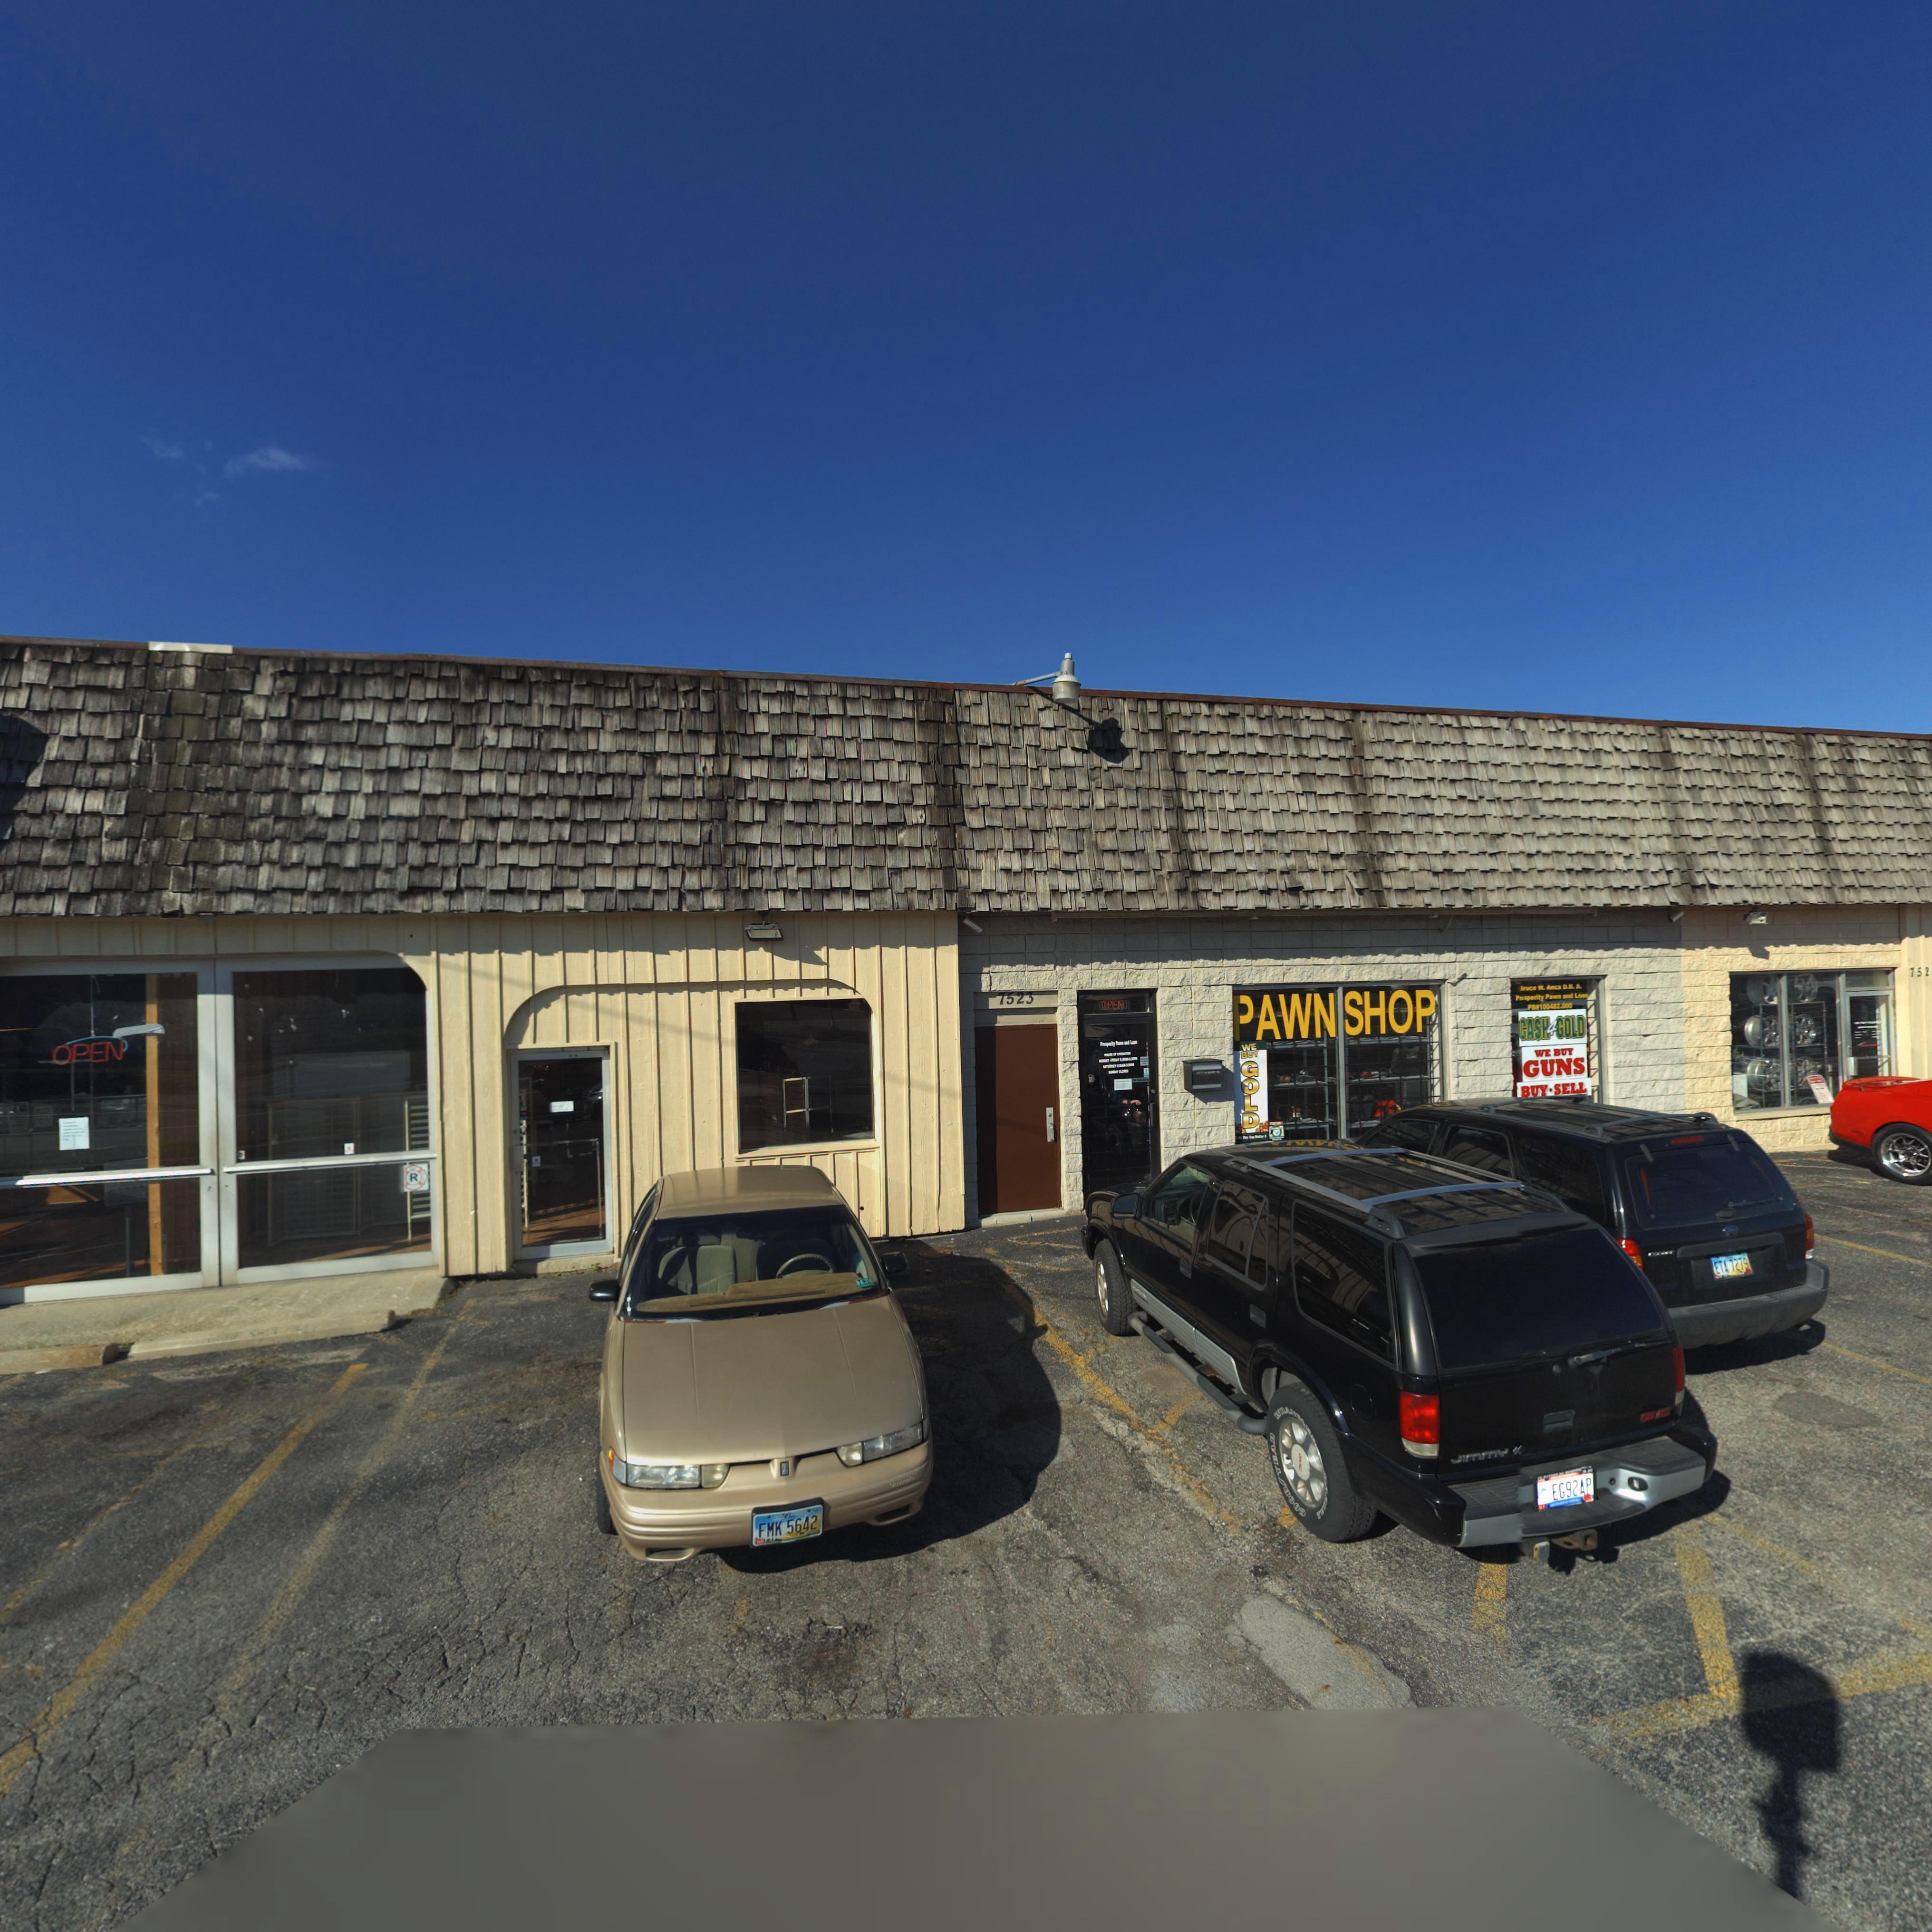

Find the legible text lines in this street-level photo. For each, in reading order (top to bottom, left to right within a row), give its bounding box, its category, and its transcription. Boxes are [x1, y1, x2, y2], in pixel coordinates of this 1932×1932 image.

[1909, 966, 1930, 977] StreetNumber: 752
[997, 991, 1034, 1006] StreetNumber: 7523
[1518, 1014, 1587, 1042] BusinessName: CASH4GOLD